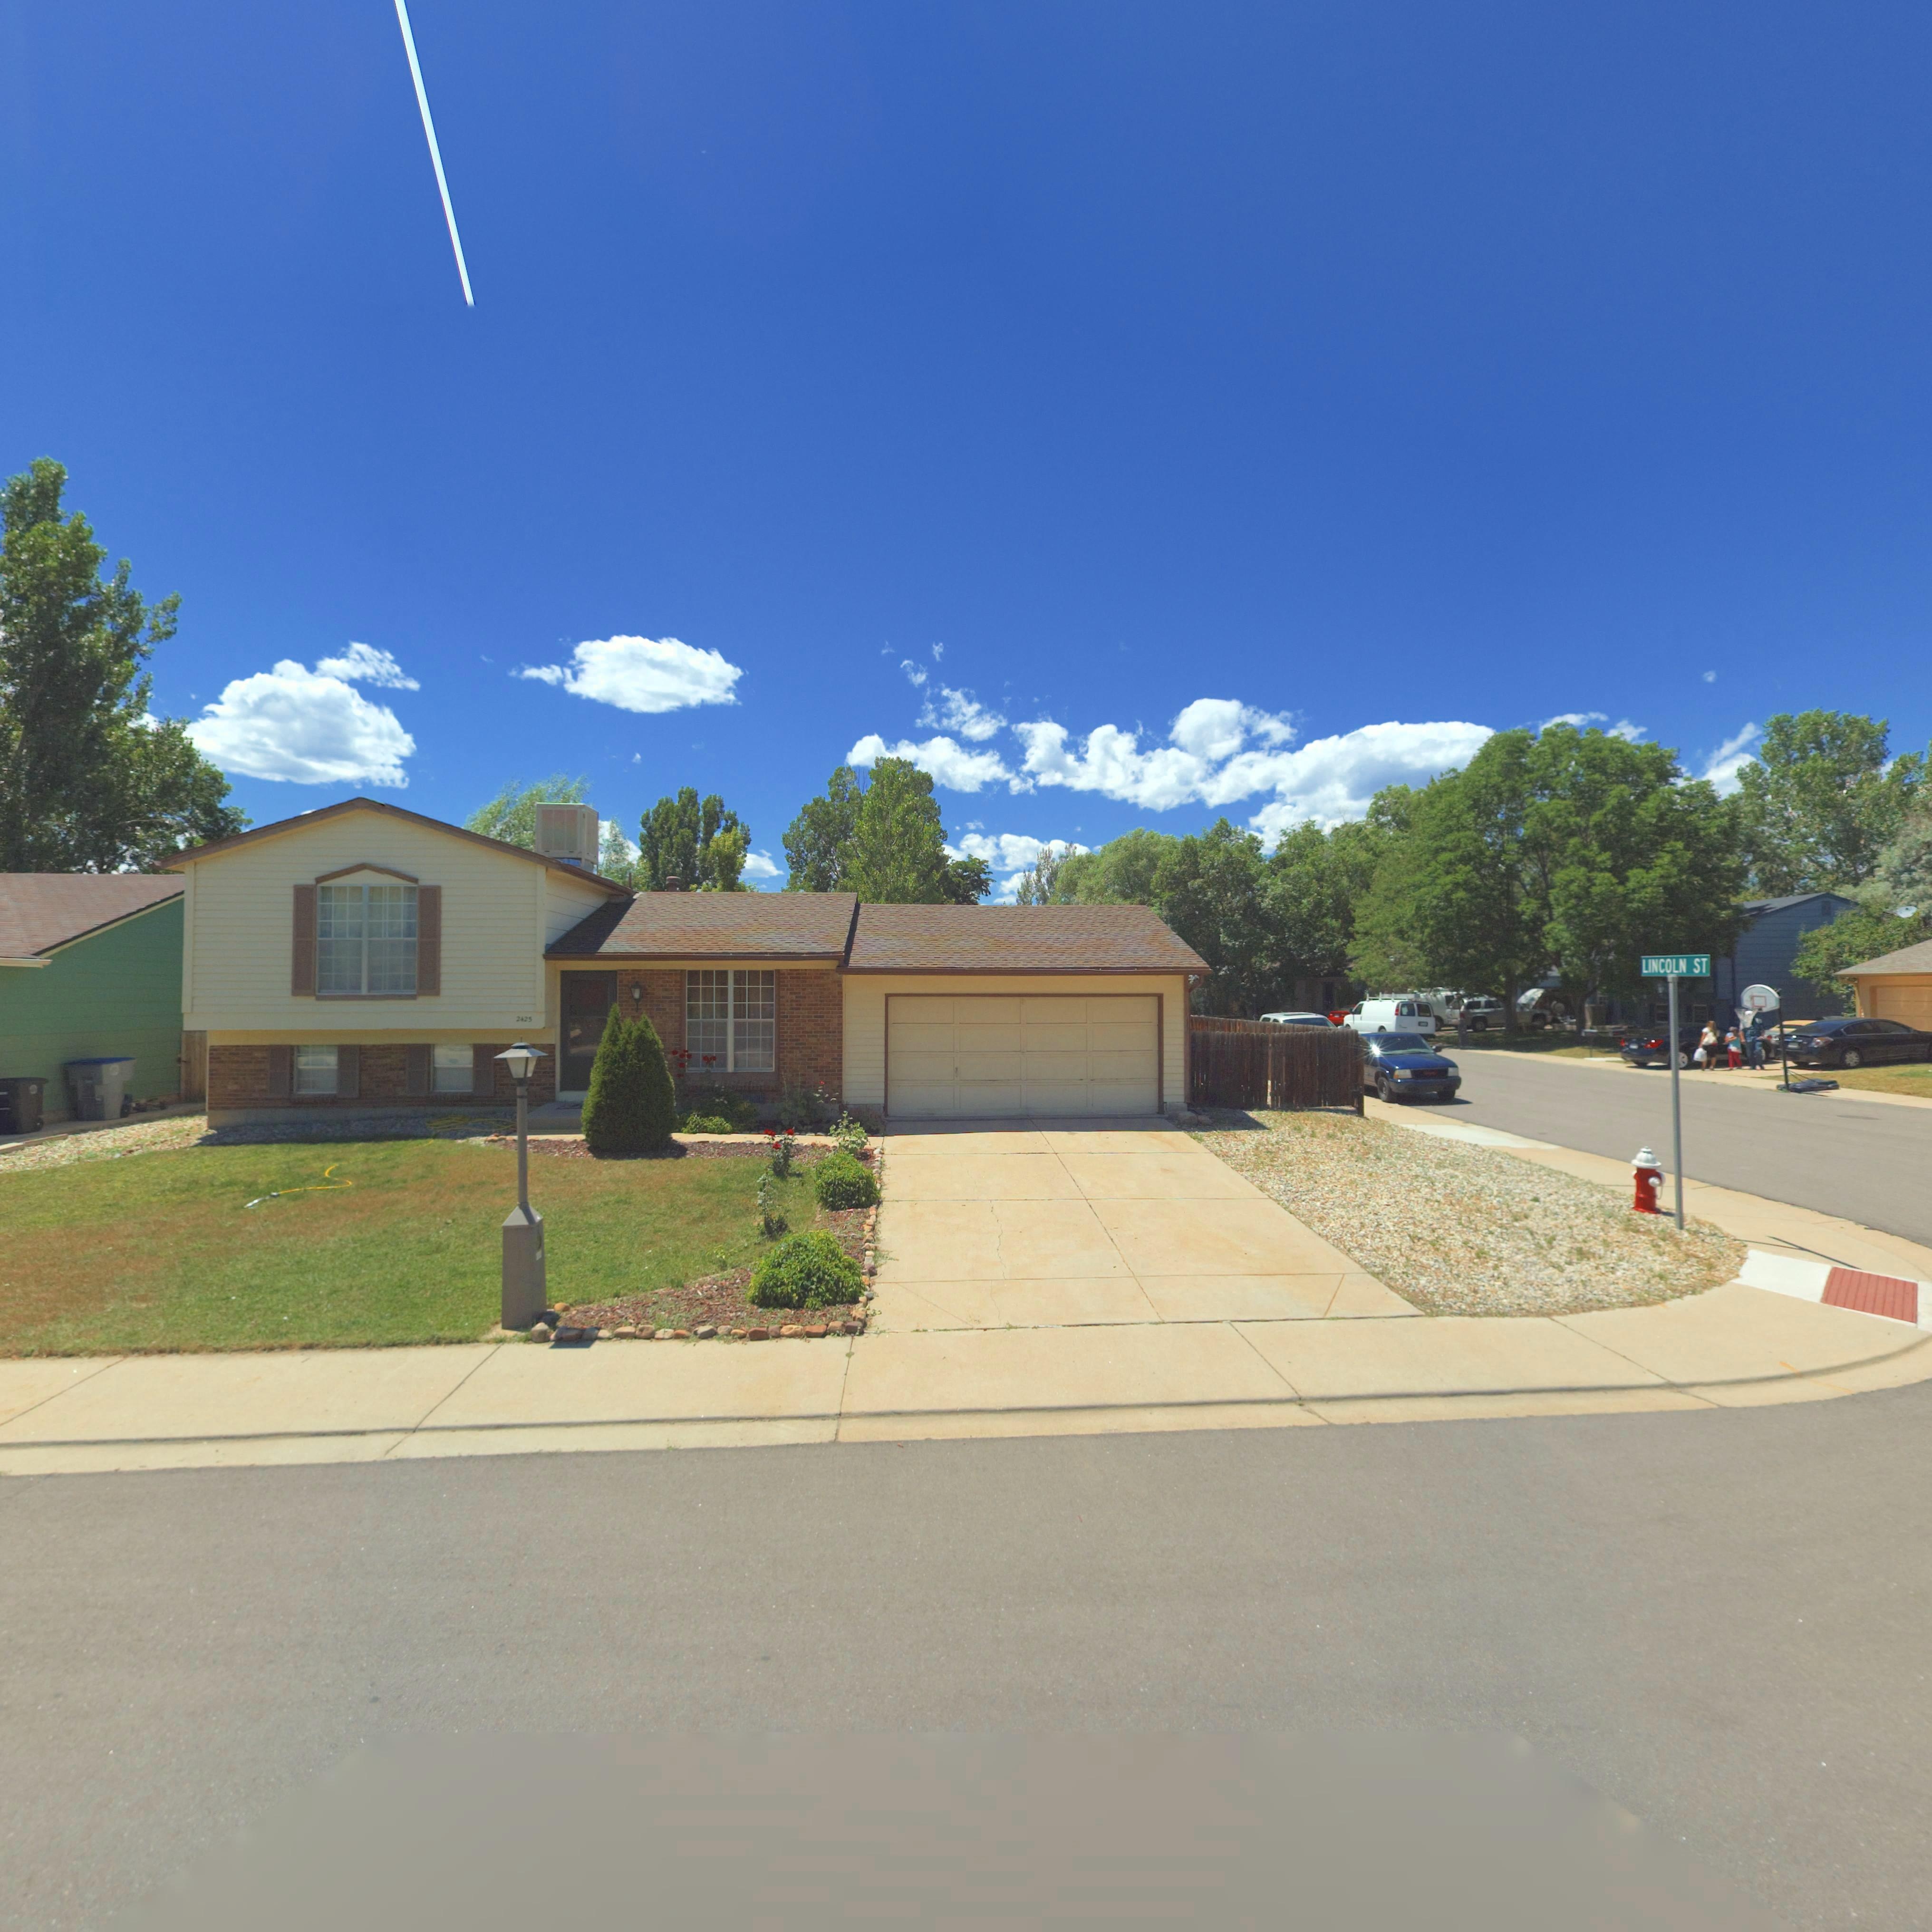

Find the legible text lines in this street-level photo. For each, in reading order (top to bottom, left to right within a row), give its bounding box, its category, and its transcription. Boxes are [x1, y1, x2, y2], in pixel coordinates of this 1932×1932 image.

[1641, 957, 1709, 974] StreetName: LINCOLN ST
[515, 1014, 533, 1023] StreetNumber: 2425